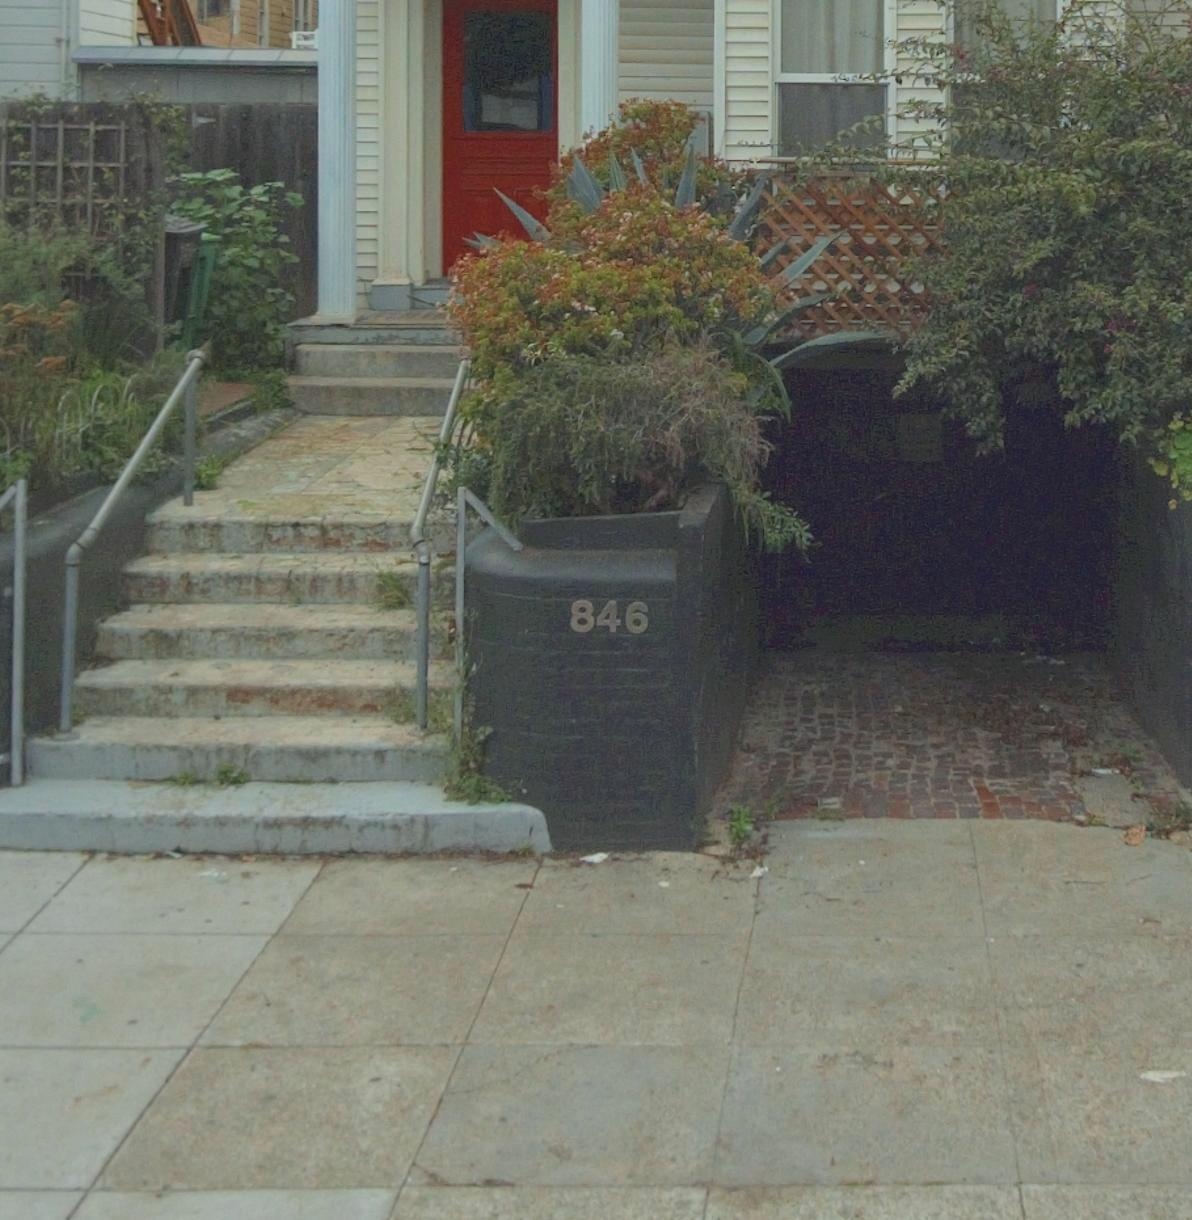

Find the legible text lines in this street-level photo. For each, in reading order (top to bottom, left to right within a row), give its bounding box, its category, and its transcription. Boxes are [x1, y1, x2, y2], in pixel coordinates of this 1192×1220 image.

[569, 597, 649, 635] StreetNumber: 846